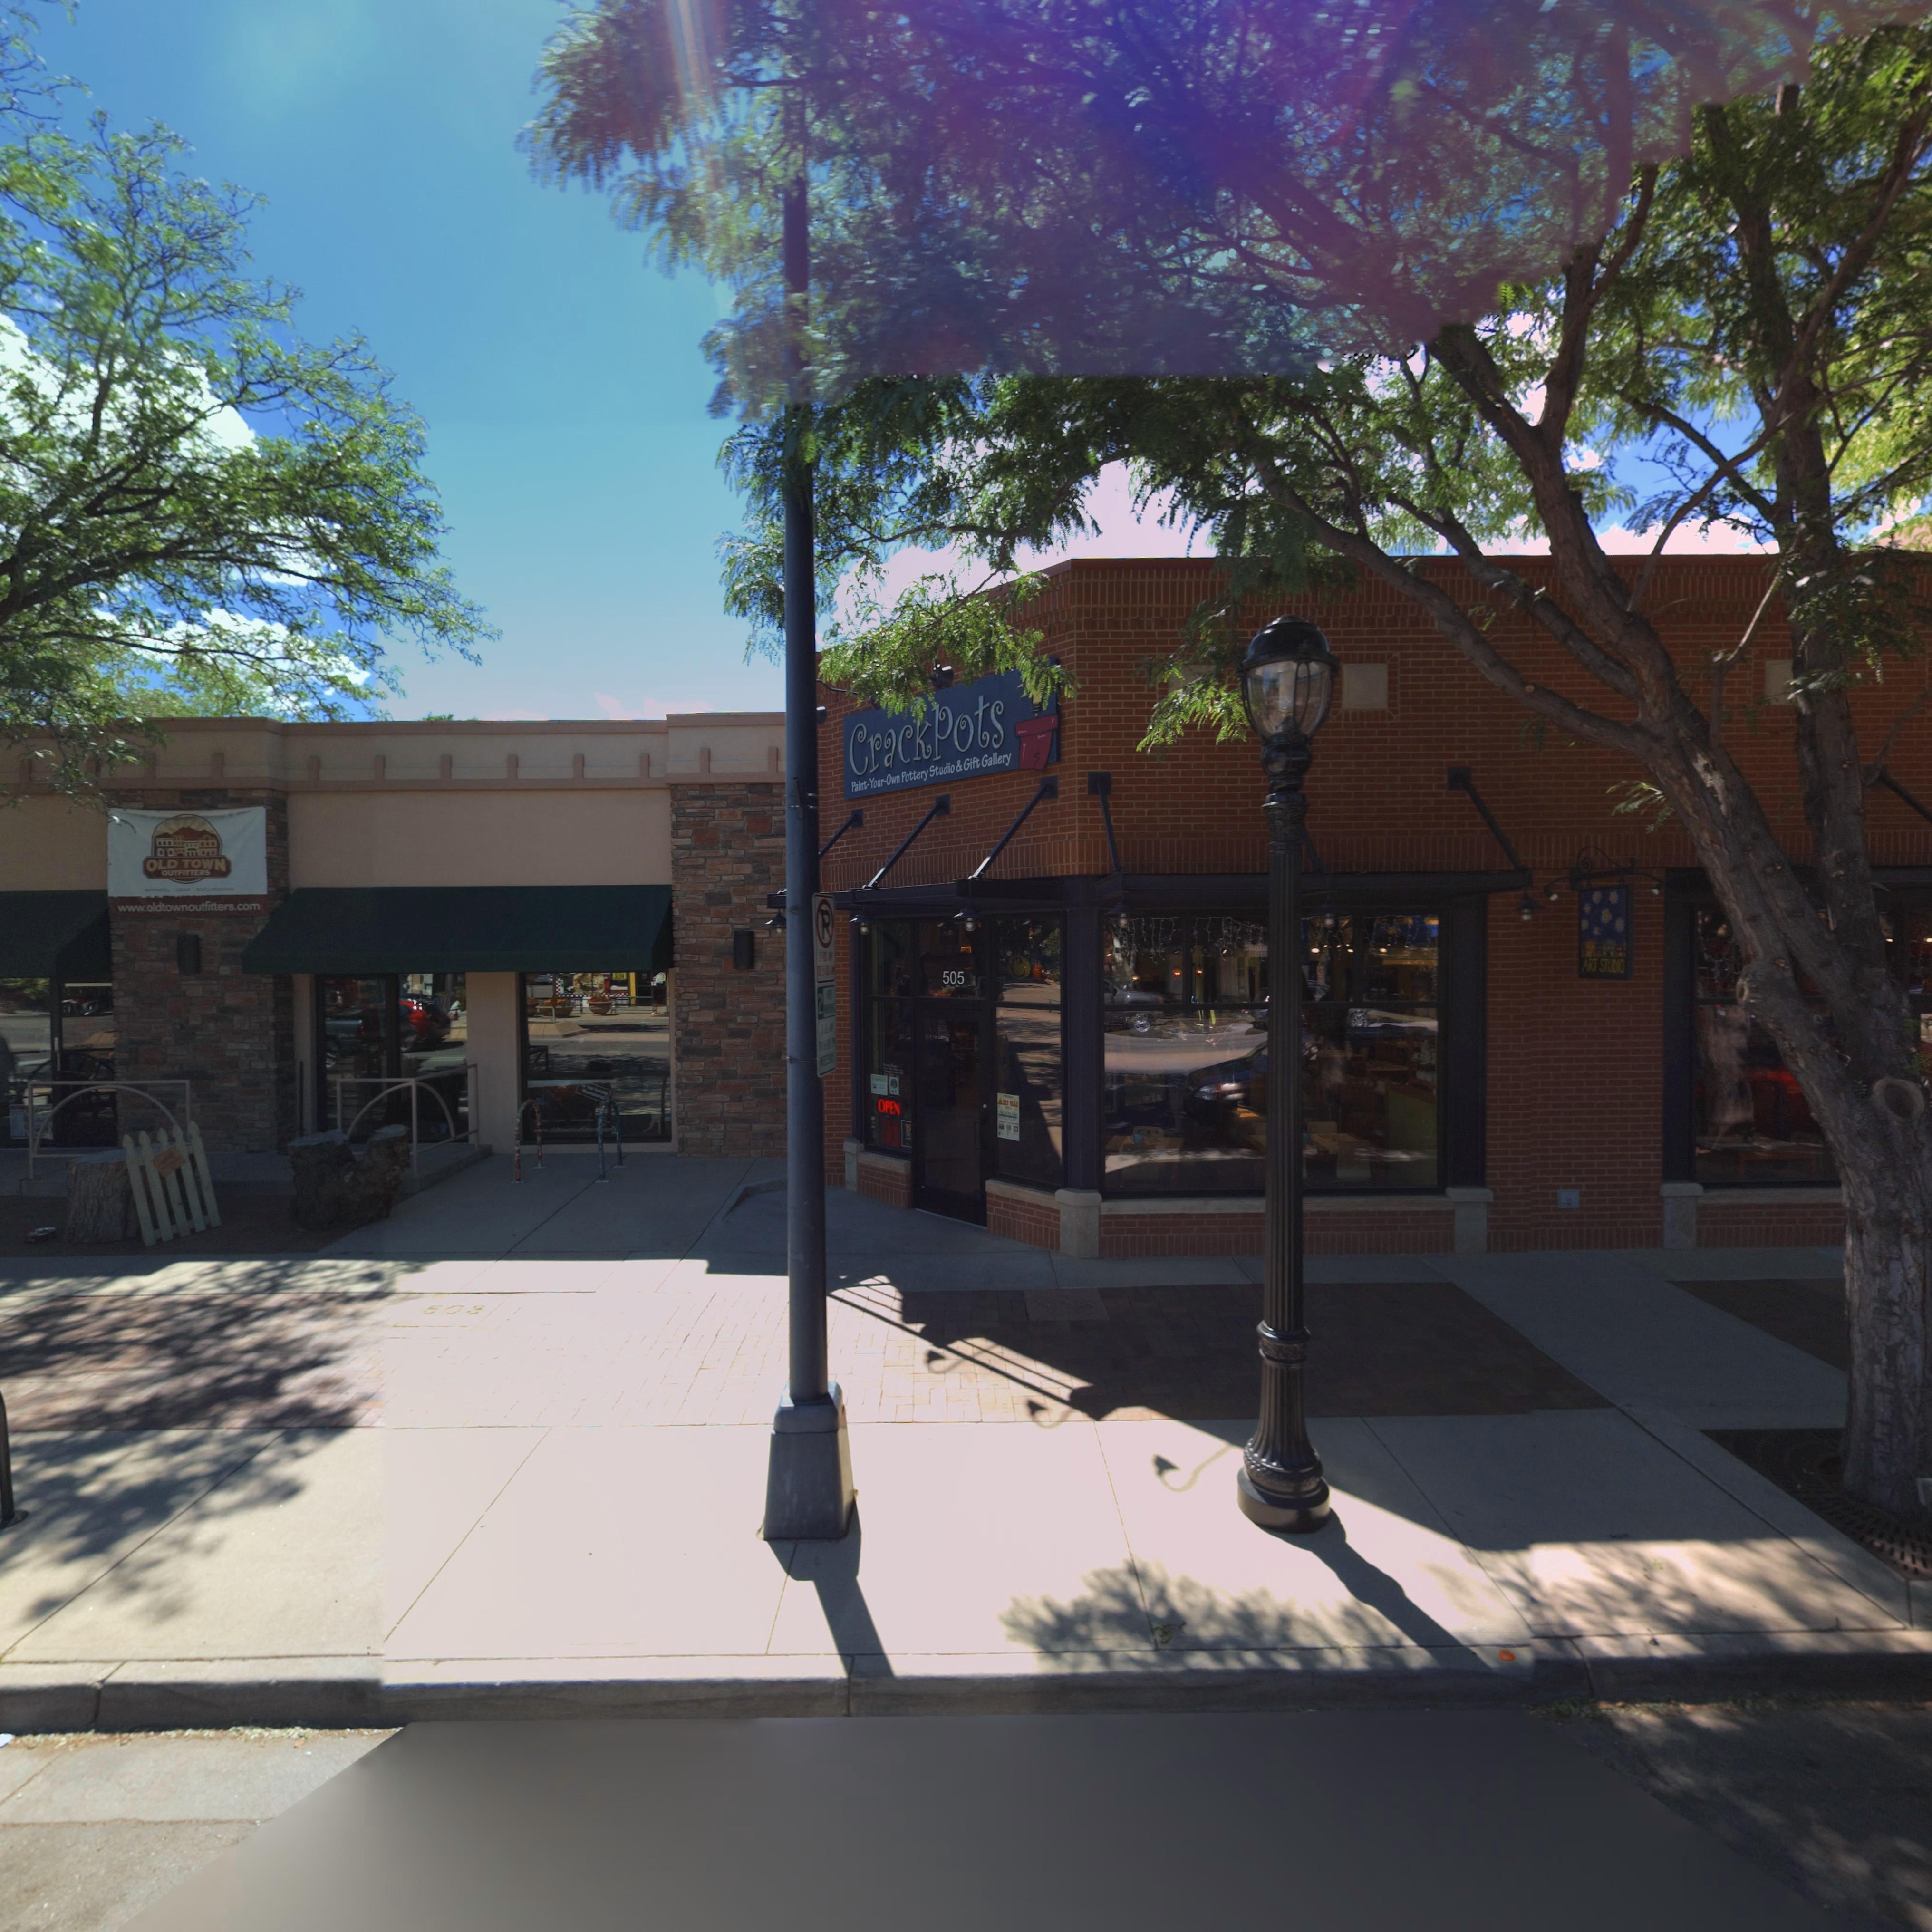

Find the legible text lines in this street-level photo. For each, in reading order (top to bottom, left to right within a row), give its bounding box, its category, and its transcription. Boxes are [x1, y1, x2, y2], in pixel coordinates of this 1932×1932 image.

[849, 694, 1005, 776] BusinessName: CrackPots
[145, 858, 226, 872] BusinessName: OLD TOWN
[162, 869, 210, 876] BusinessName: OUTFITTERS
[942, 971, 964, 984] StreetNumber: 505